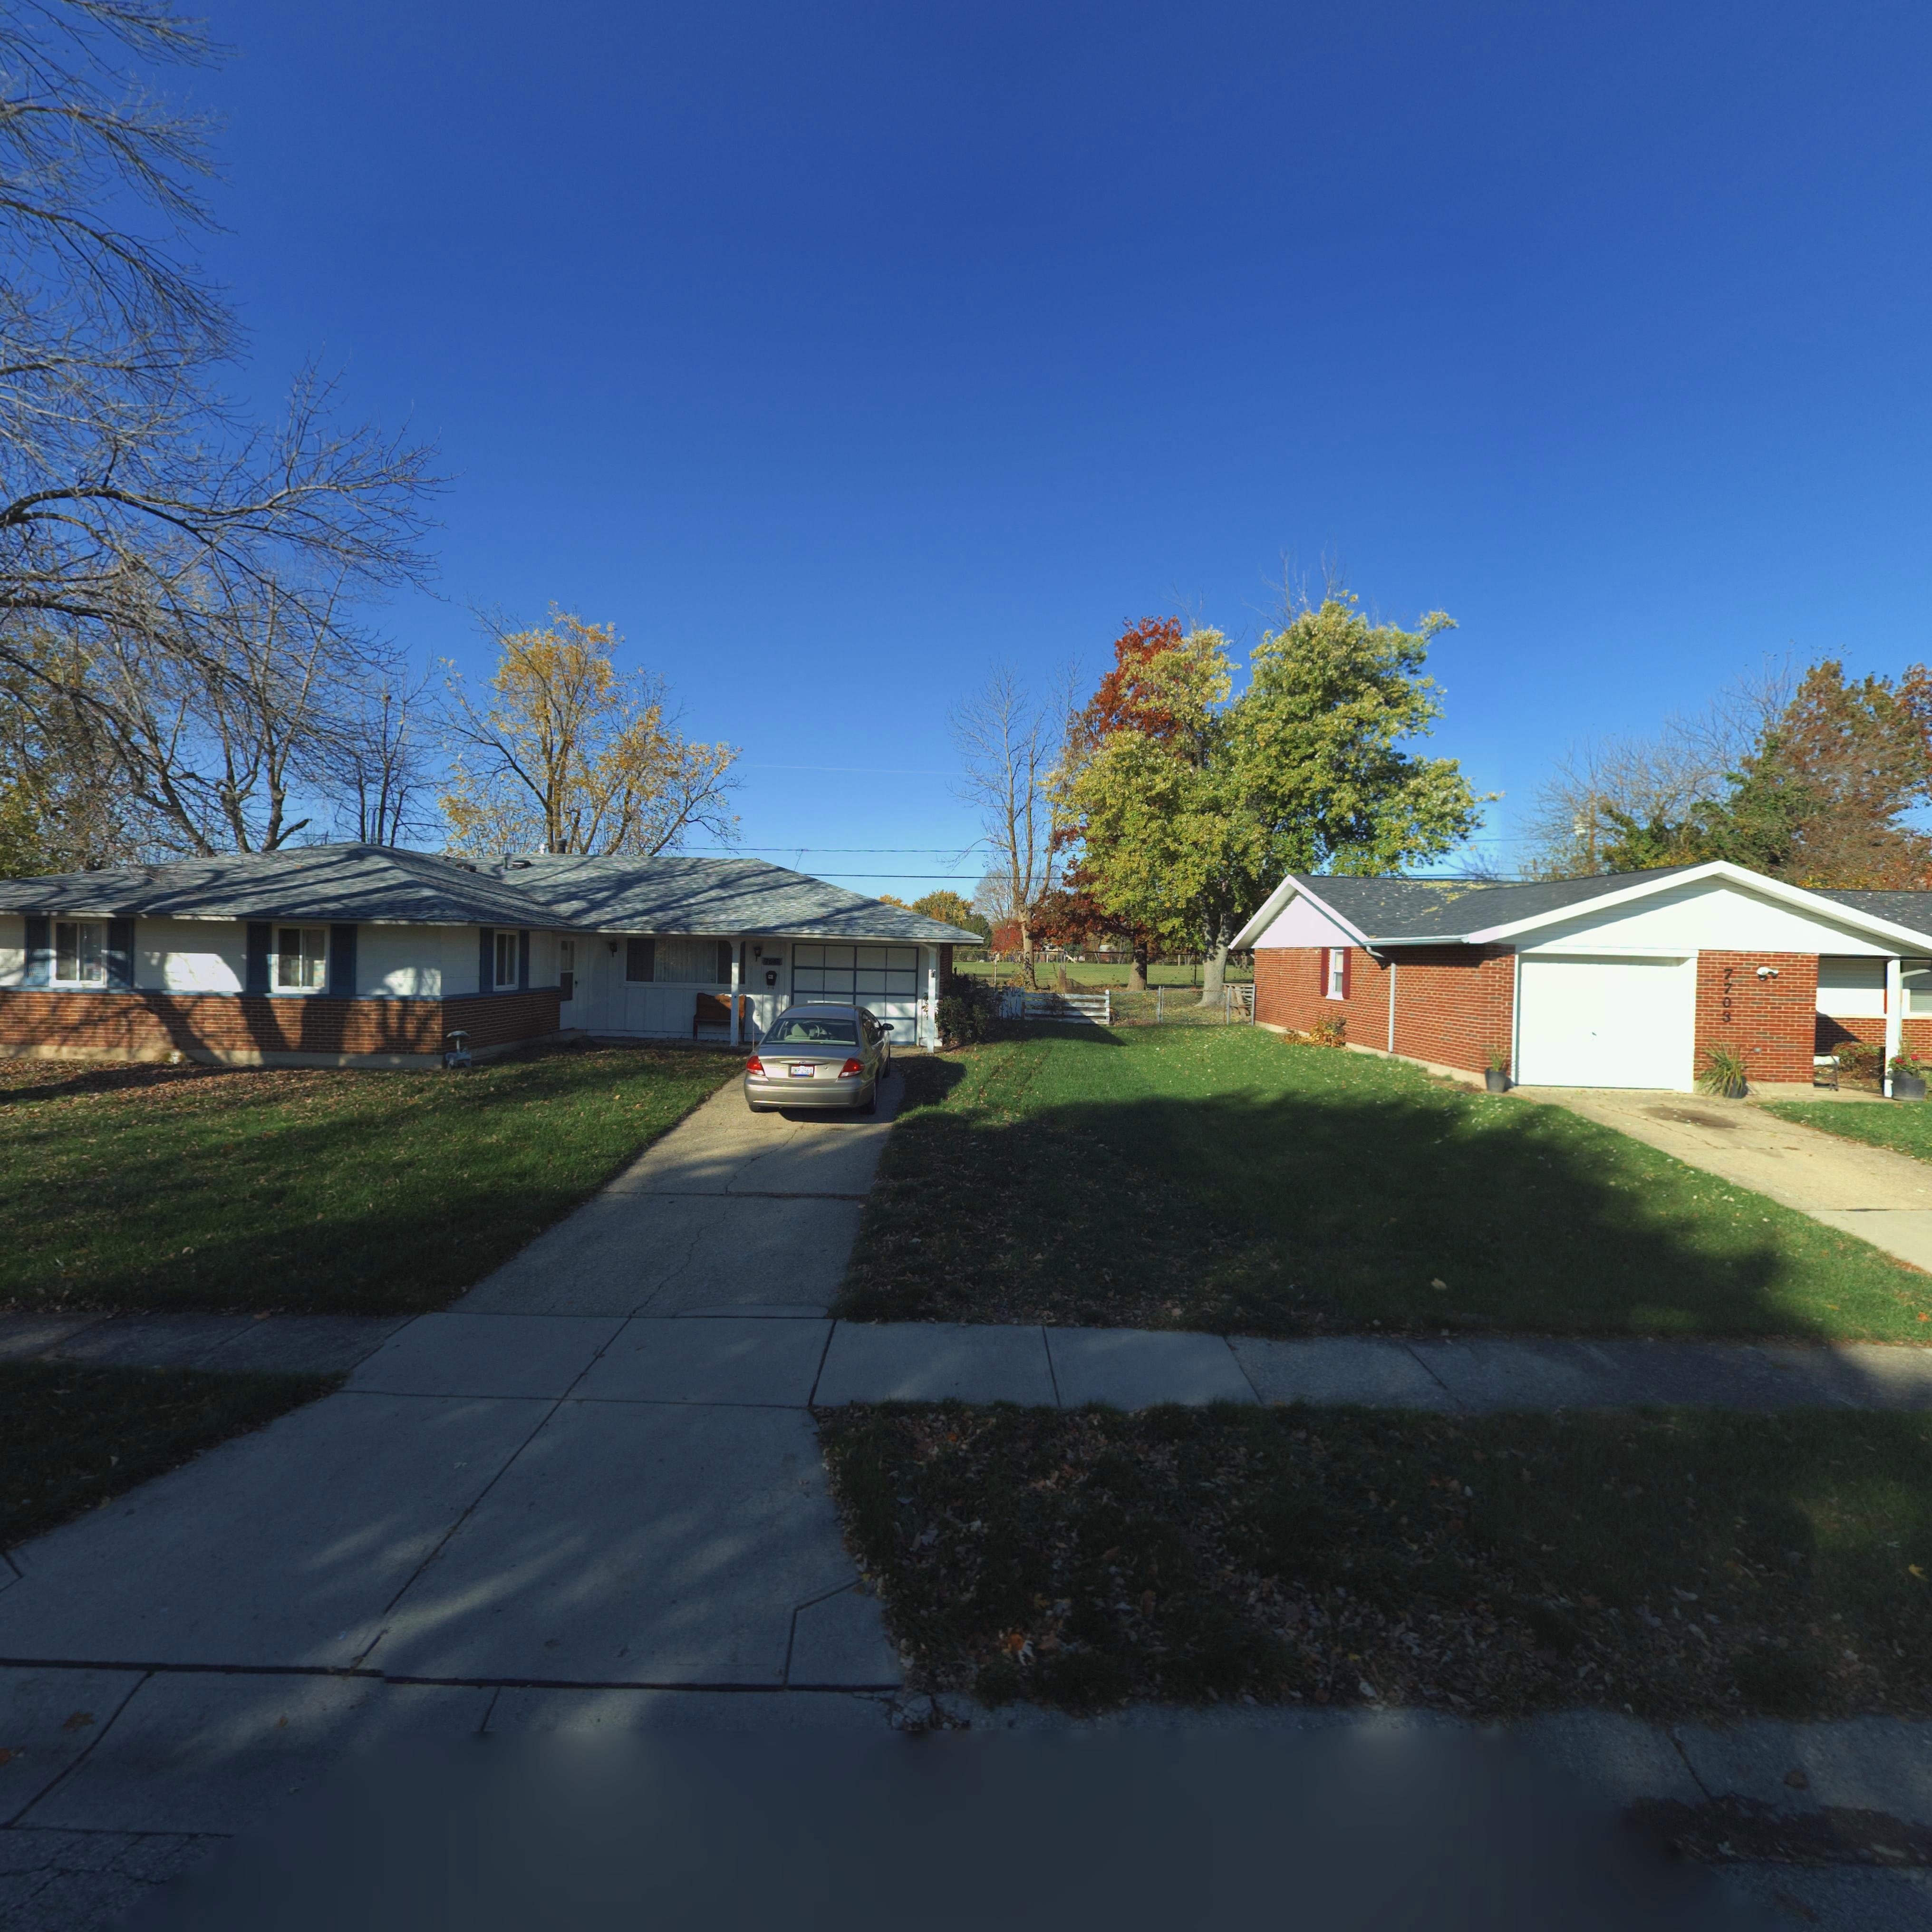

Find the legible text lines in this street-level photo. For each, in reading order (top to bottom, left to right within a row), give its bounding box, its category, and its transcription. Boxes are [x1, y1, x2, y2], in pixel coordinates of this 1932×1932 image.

[763, 957, 782, 966] StreetNumber: 76**
[1720, 967, 1734, 1024] StreetNumber: 7703